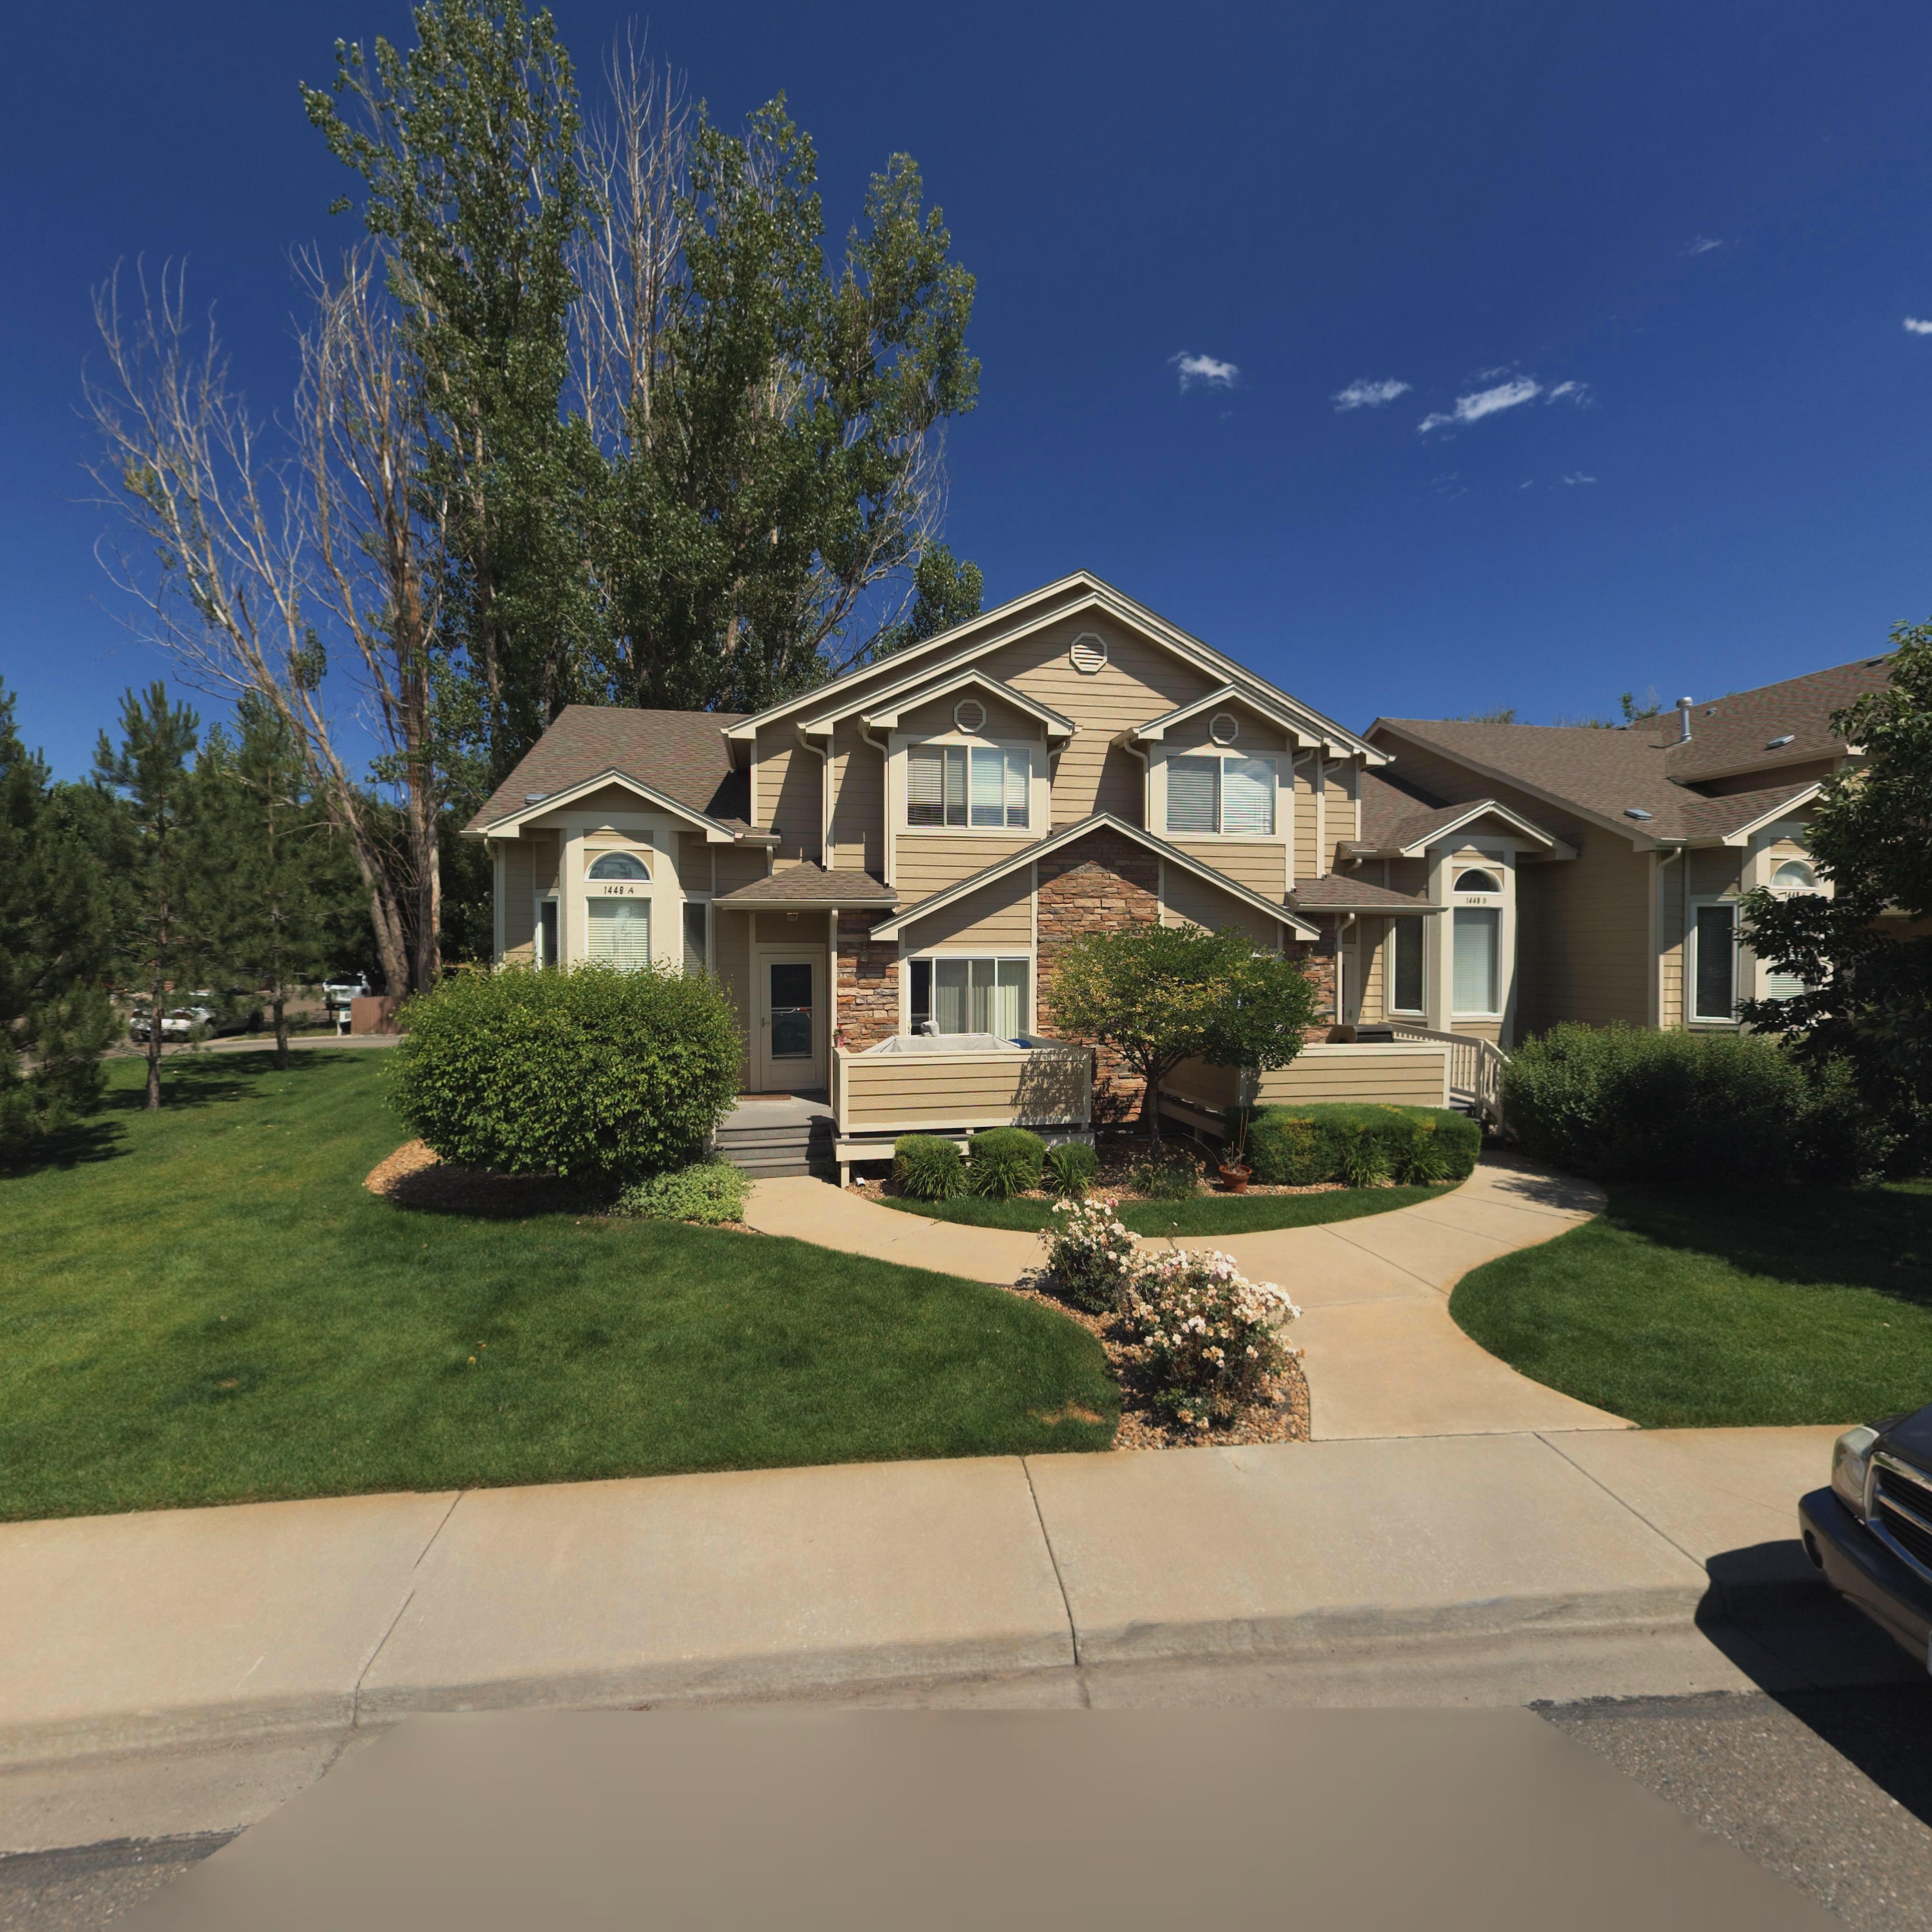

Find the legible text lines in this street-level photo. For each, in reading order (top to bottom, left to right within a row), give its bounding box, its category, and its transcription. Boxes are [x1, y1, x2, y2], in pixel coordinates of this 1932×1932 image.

[603, 886, 633, 894] StreetNumber: 1448 A
[1465, 897, 1487, 904] StreetNumber: 1448 B